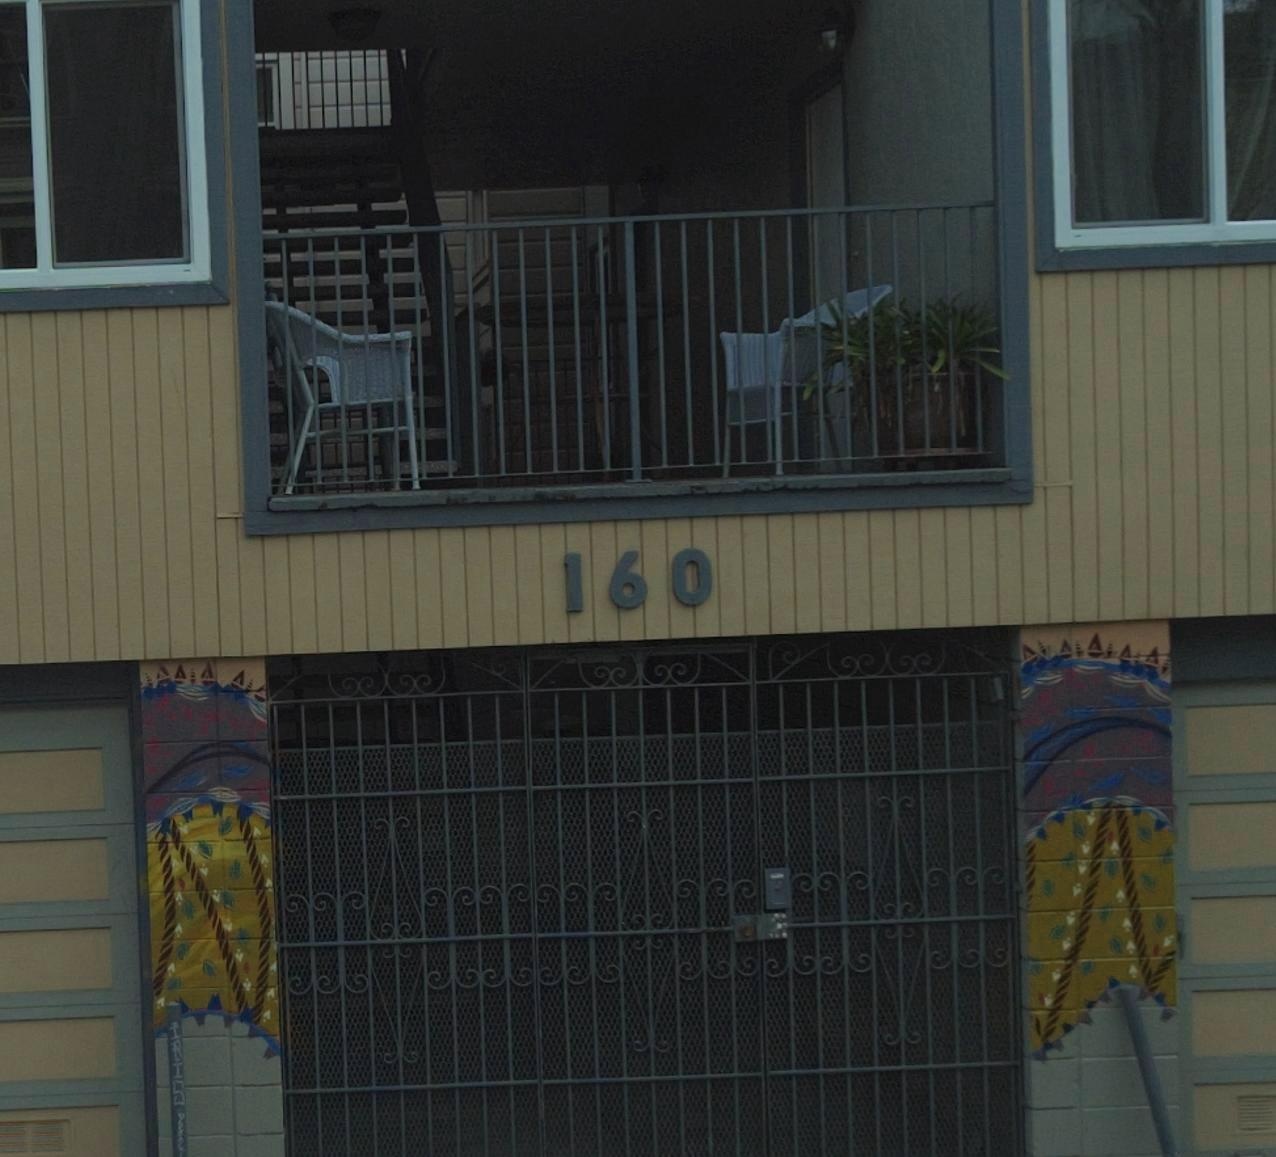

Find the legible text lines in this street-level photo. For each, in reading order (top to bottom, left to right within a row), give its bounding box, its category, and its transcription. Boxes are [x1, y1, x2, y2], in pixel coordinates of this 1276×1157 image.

[562, 544, 715, 616] StreetNumber: 160